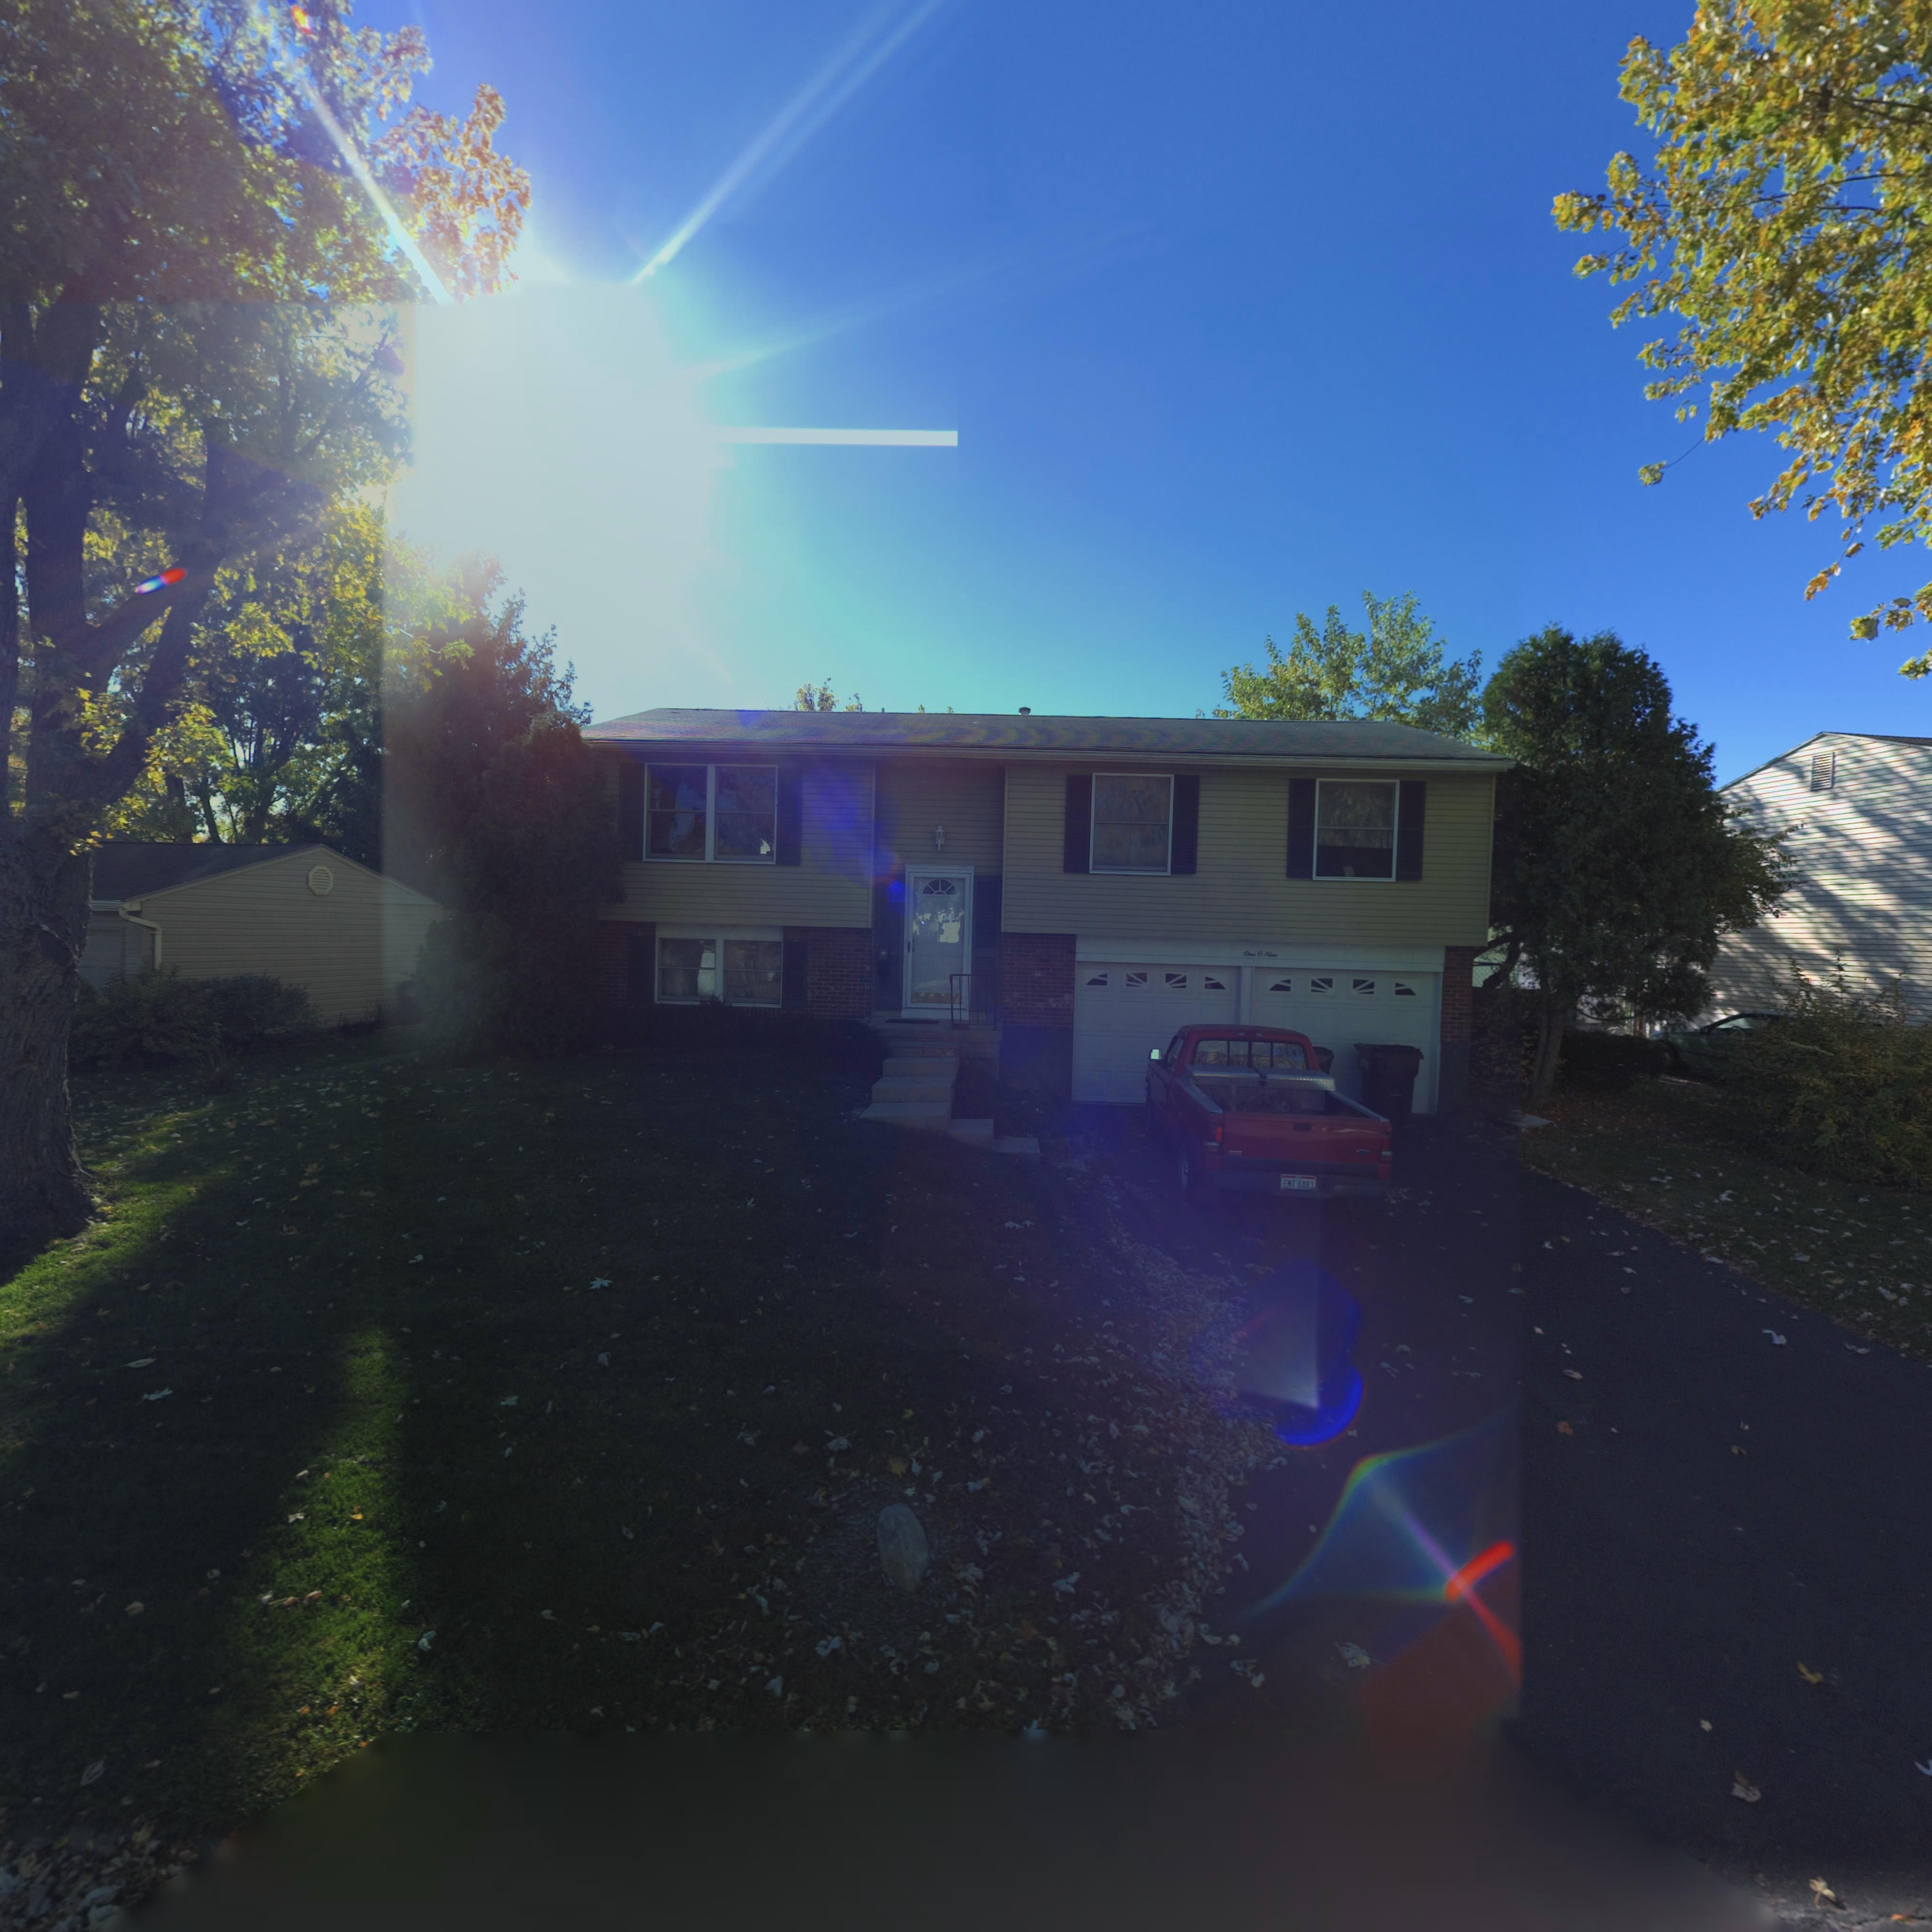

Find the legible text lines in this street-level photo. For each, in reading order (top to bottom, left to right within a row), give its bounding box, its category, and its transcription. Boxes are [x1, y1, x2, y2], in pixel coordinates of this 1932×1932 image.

[1243, 950, 1279, 957] StreetNumber: One 0 Nine